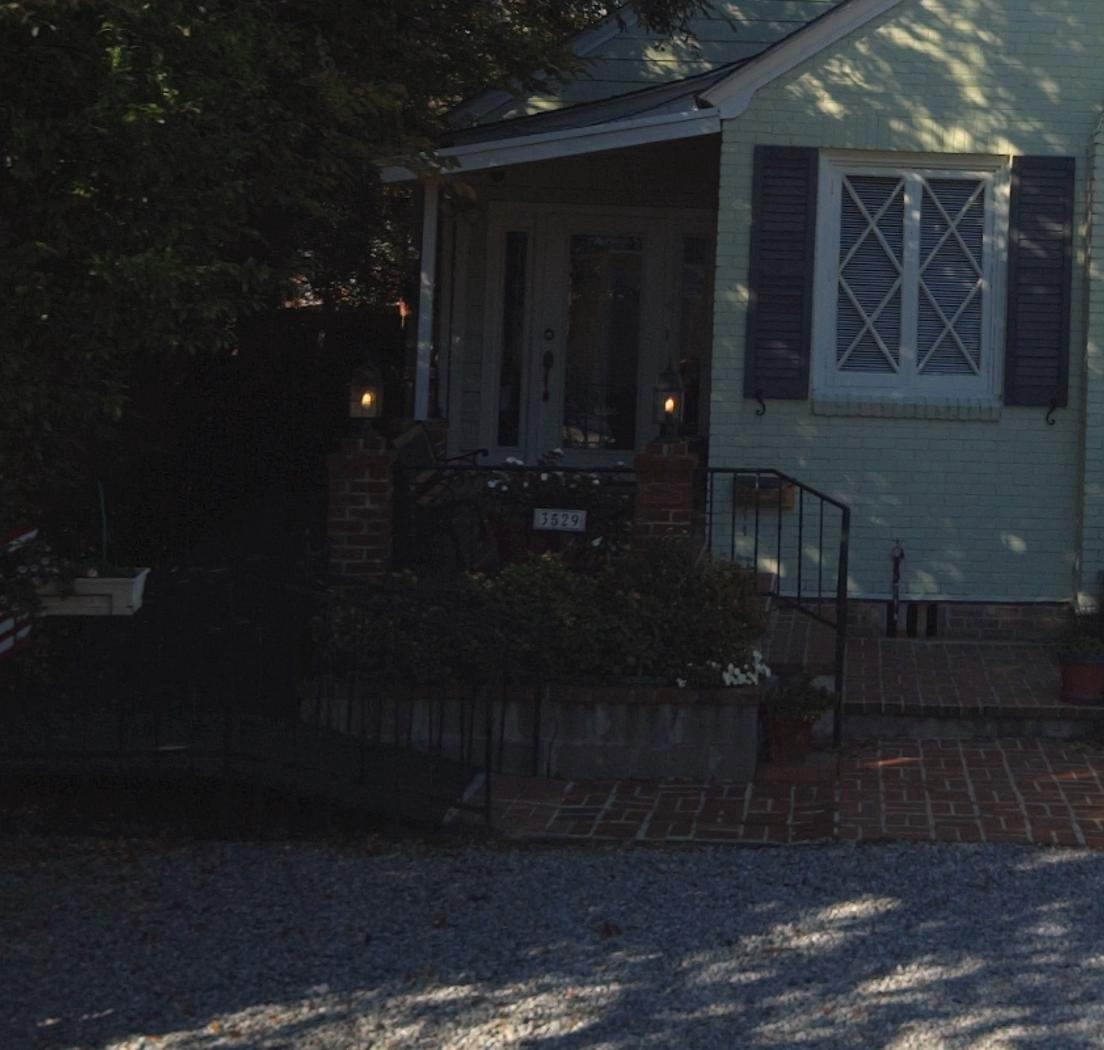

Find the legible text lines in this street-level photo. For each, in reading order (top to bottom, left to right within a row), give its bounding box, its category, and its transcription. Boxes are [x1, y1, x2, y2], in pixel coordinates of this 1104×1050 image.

[538, 510, 580, 529] StreetNumber: 3529